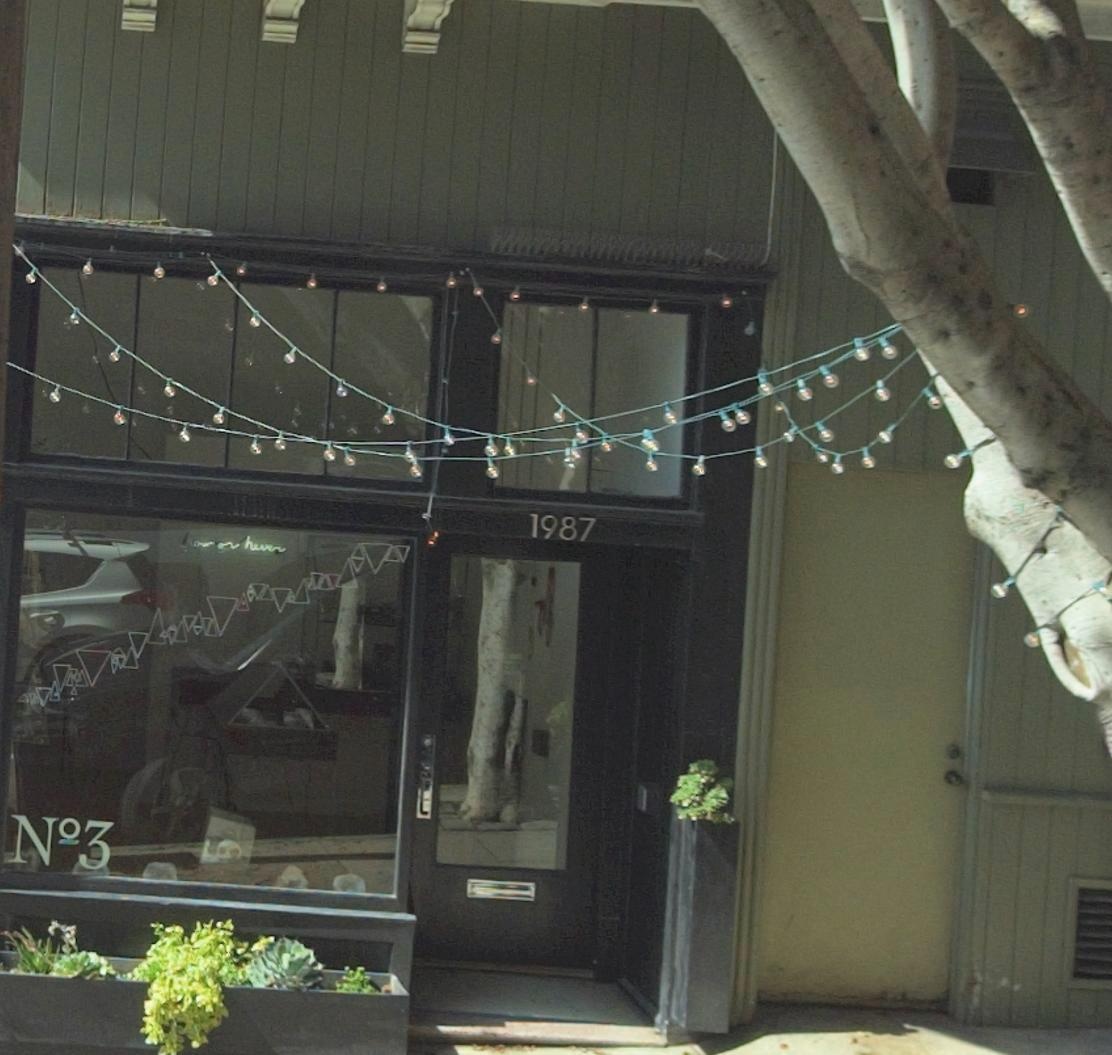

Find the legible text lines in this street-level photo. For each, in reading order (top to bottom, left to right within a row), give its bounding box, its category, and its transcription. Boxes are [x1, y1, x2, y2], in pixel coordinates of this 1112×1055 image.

[528, 512, 598, 544] StreetNumber: 1987
[7, 813, 116, 871] None: N*3